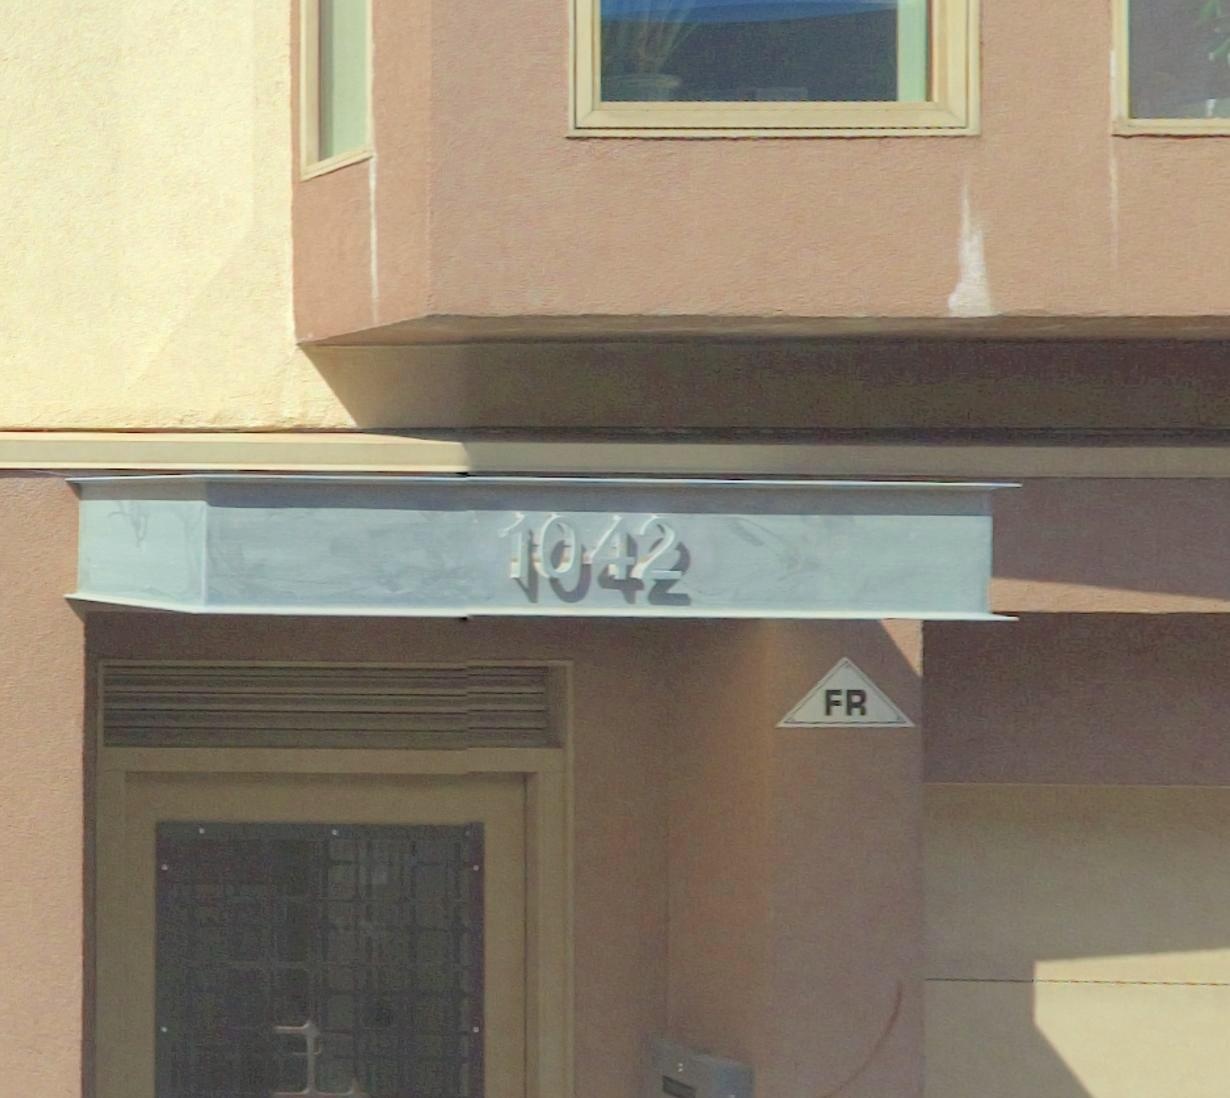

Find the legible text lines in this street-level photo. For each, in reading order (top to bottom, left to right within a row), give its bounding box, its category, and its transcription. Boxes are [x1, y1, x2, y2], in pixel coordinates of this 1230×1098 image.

[500, 512, 694, 584] StreetNumber: 1042
[818, 684, 872, 721] None: FR